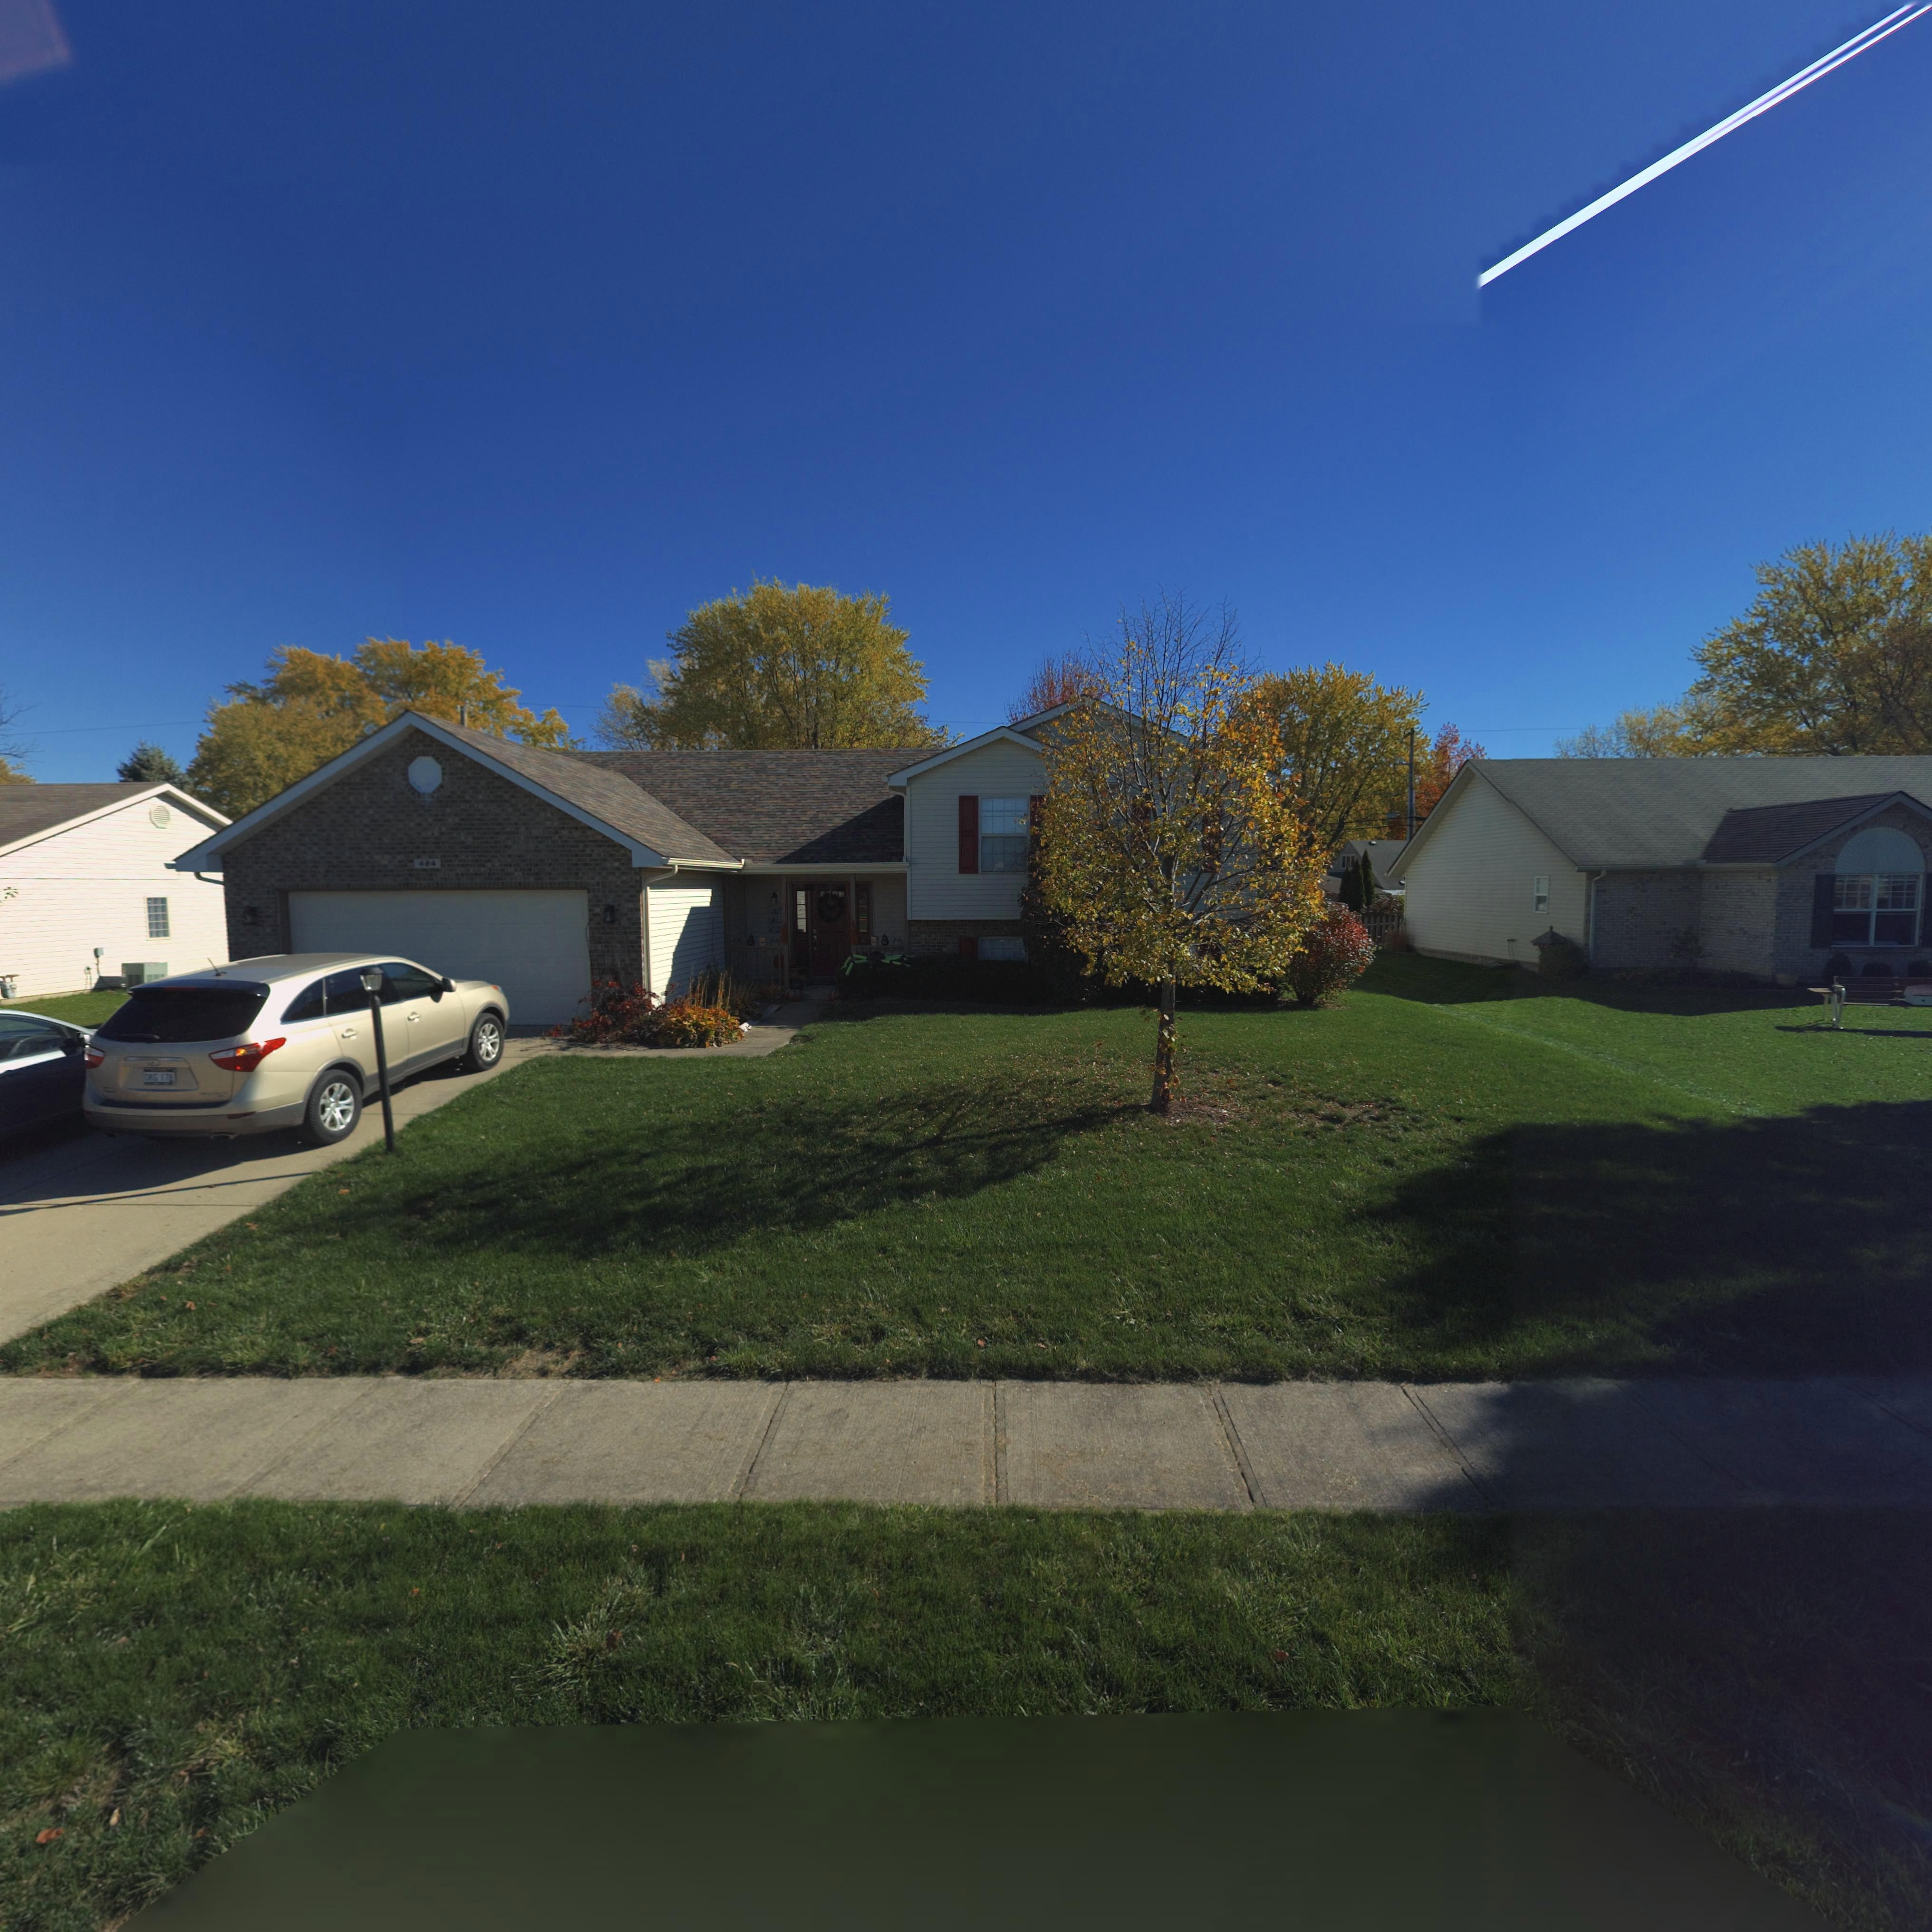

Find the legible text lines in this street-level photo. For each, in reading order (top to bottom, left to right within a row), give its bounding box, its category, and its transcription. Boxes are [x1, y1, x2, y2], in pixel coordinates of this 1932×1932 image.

[418, 860, 437, 867] StreetNumber: 424
[143, 1072, 174, 1082] None: **G*178